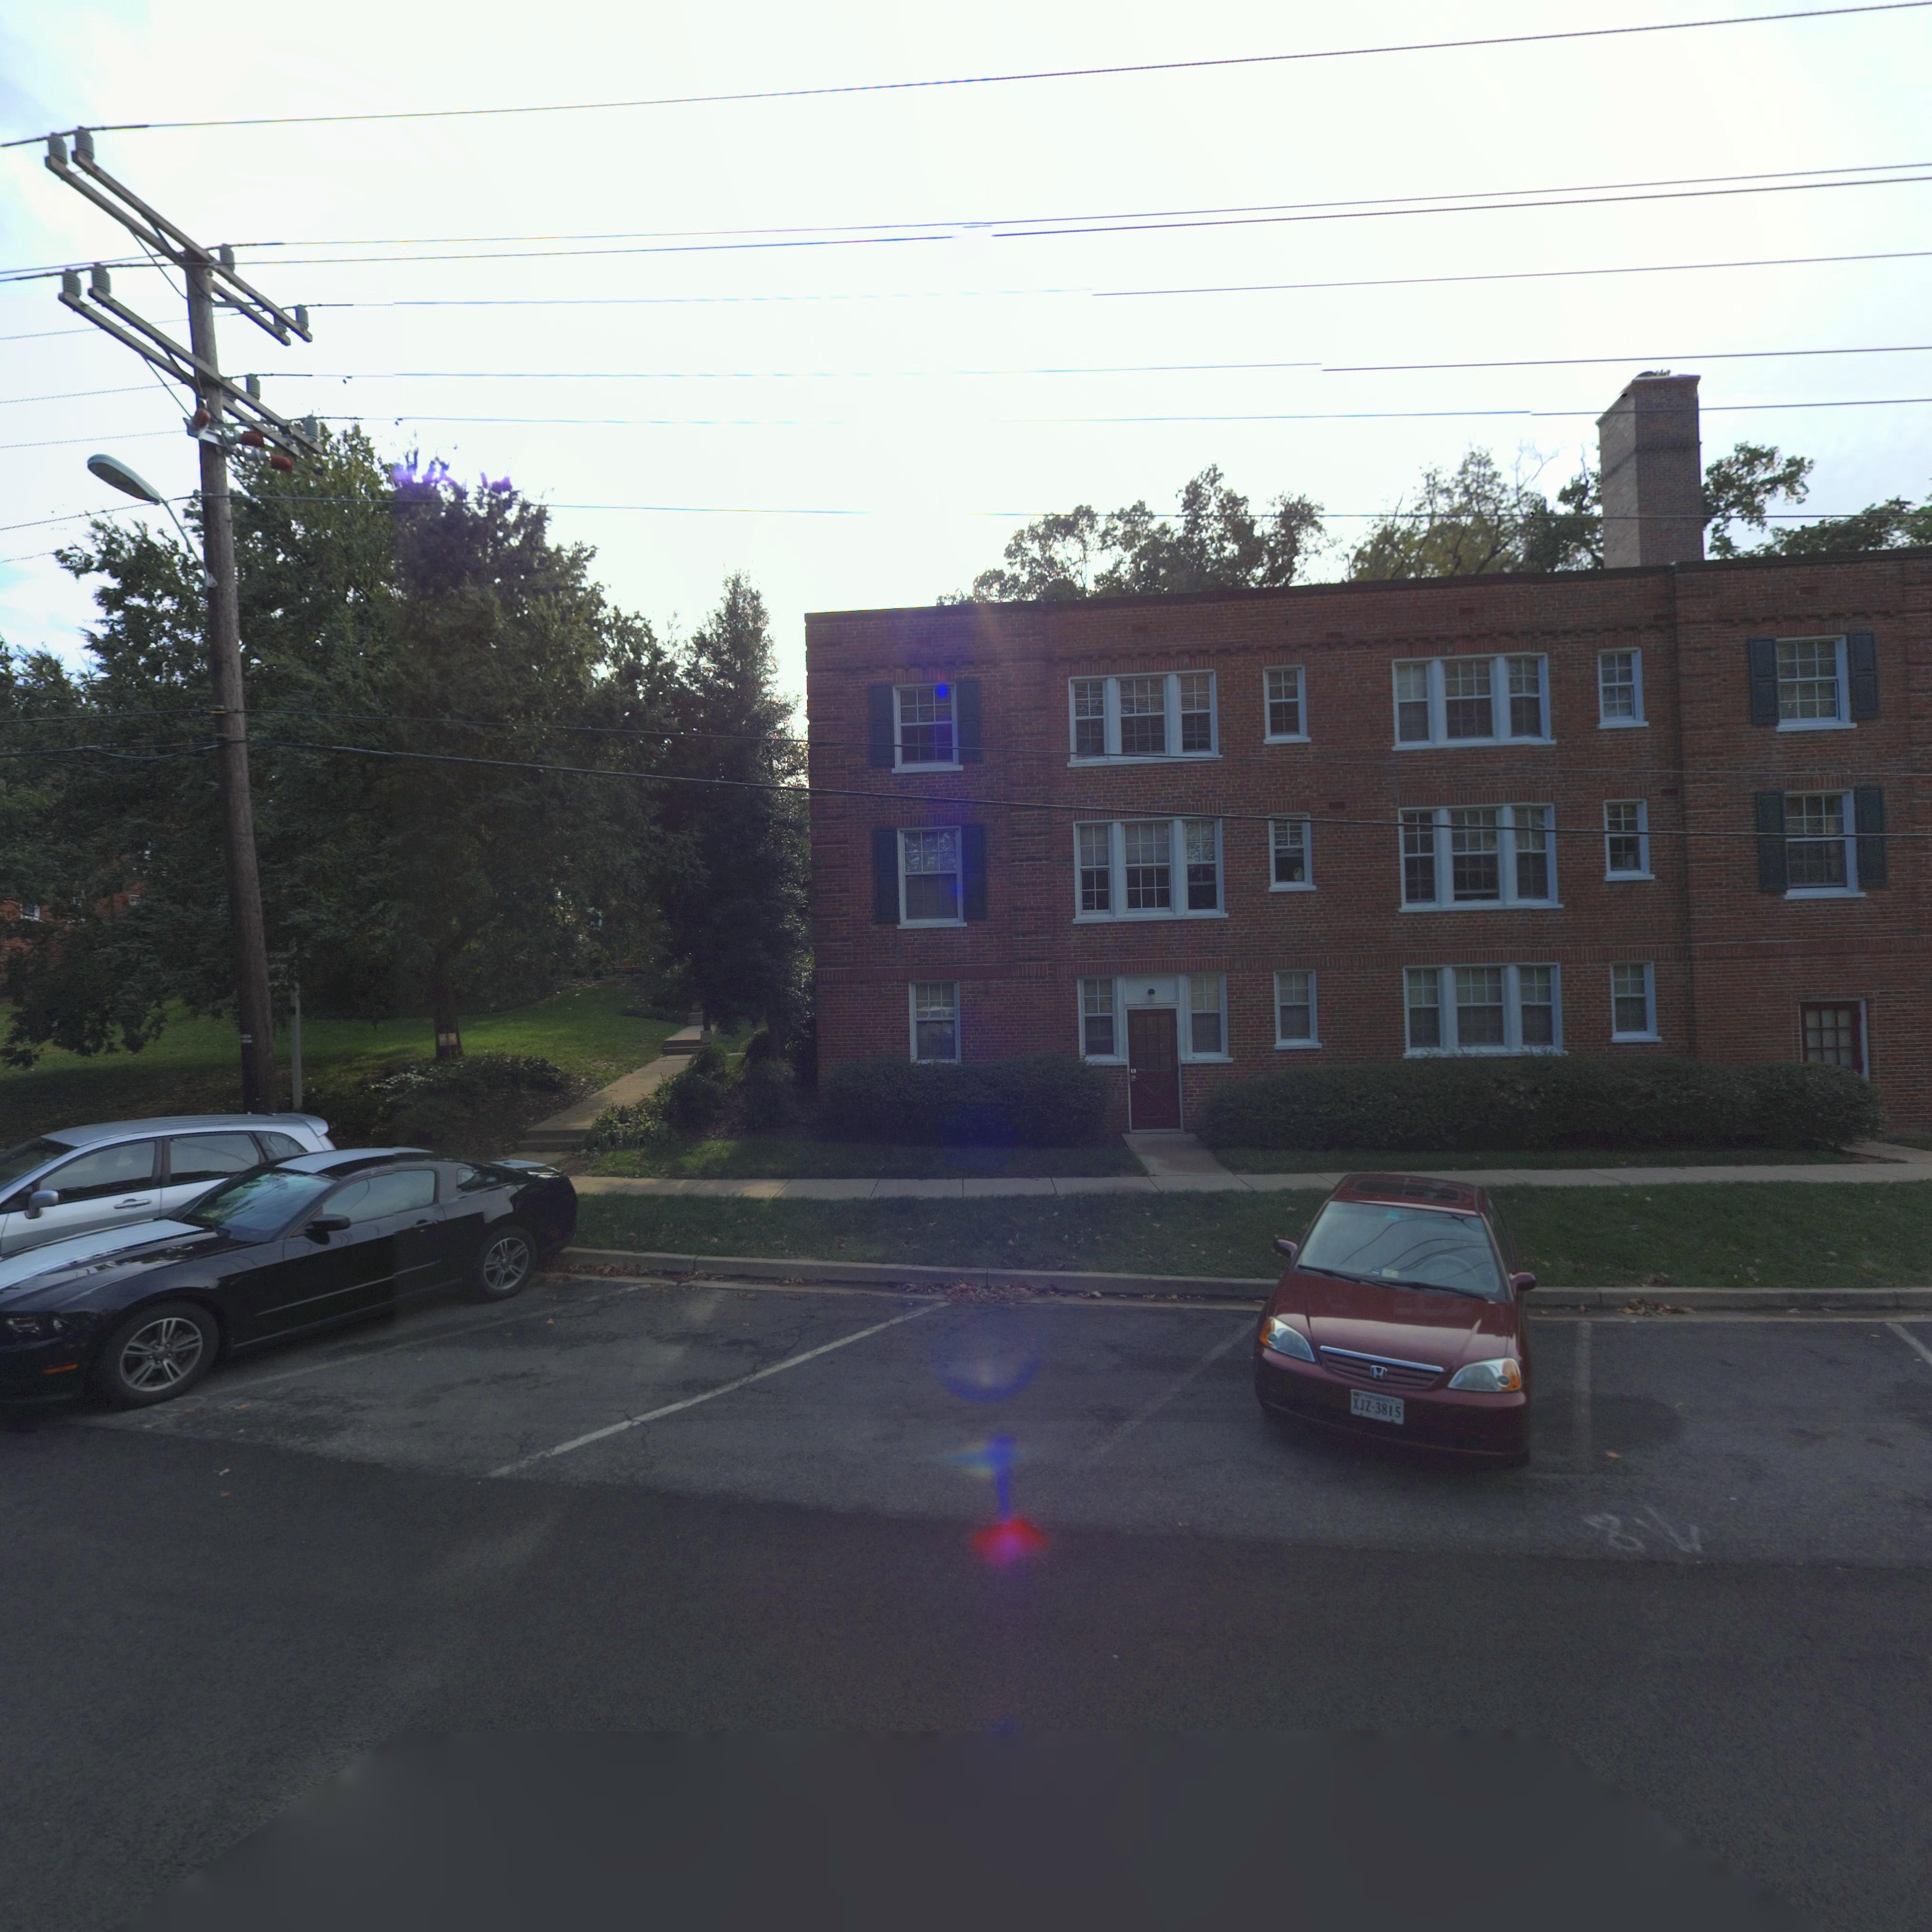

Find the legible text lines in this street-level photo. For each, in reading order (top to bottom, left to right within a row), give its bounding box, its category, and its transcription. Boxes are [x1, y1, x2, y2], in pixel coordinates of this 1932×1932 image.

[1352, 1396, 1402, 1419] None: XJZ*3815
[1581, 1510, 1650, 1556] None: 8